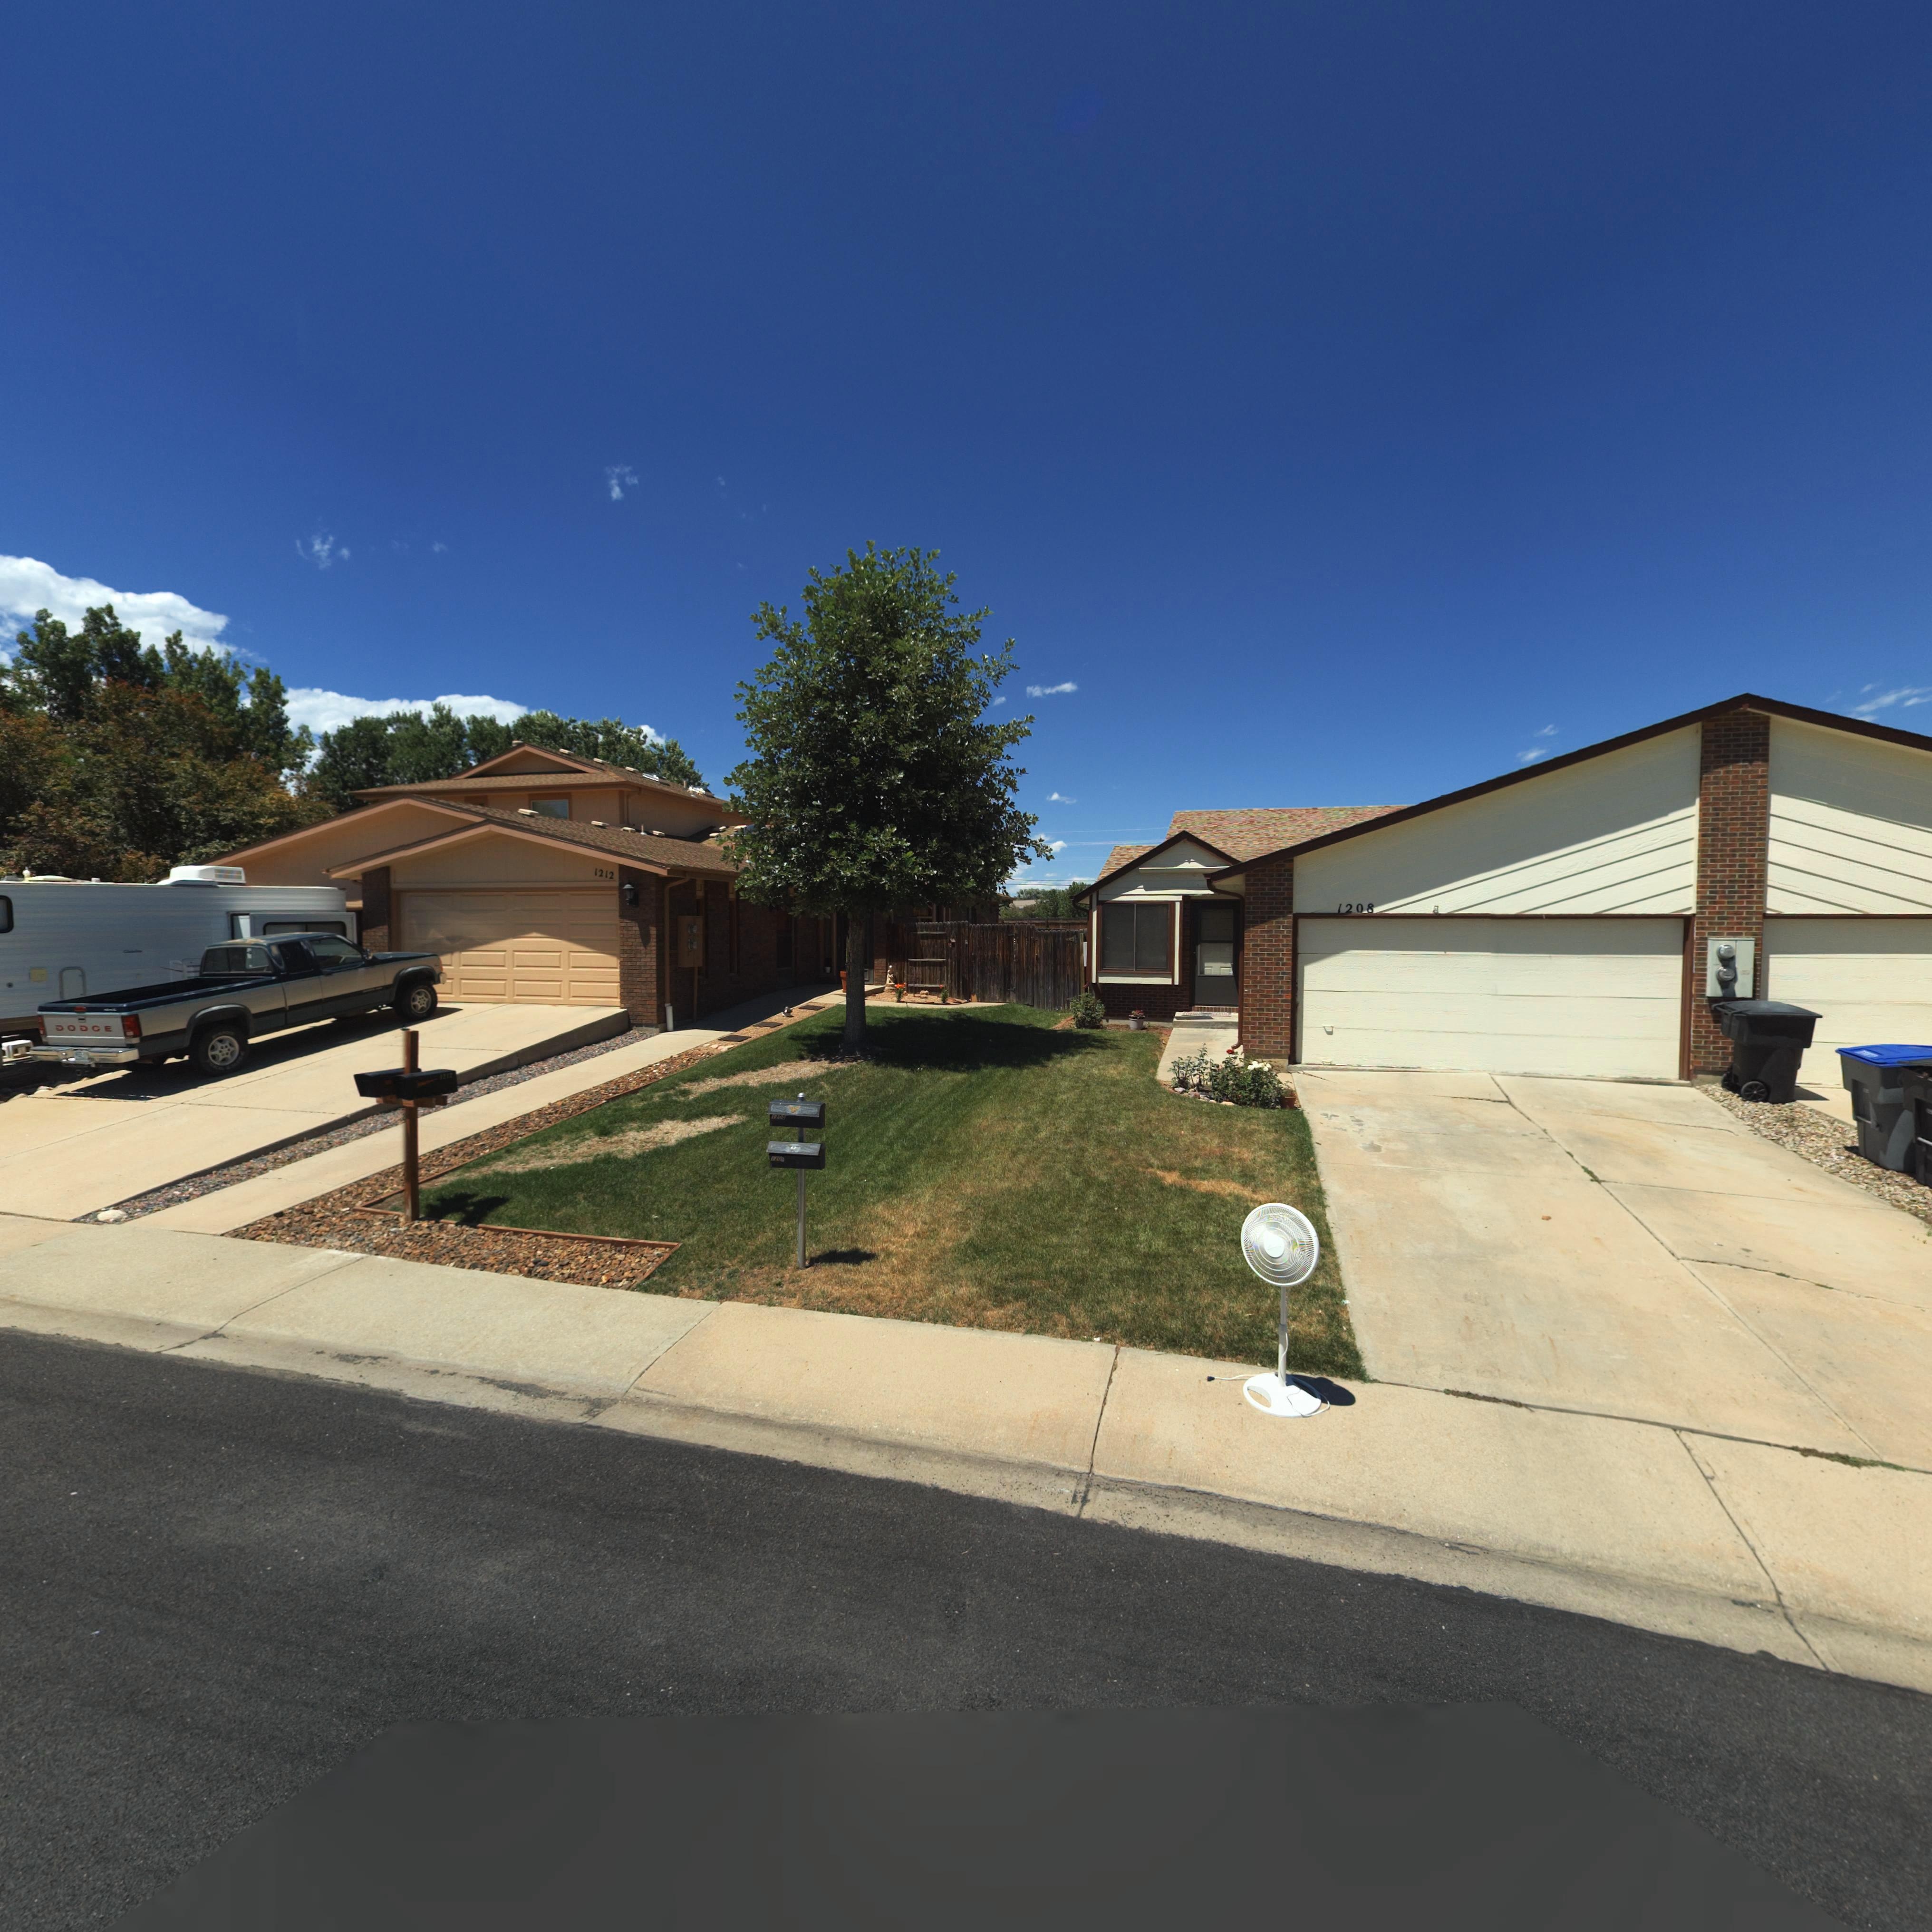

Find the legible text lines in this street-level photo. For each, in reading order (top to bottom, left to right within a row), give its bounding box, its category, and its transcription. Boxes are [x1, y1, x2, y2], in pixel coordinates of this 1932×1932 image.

[595, 868, 614, 879] StreetNumber: 1212
[1336, 903, 1374, 913] StreetNumber: 1208
[440, 1072, 453, 1080] StreetNumber: 1212
[772, 1113, 785, 1119] StreetNumber: 1208
[771, 1156, 784, 1161] StreetNumber: 1*0*